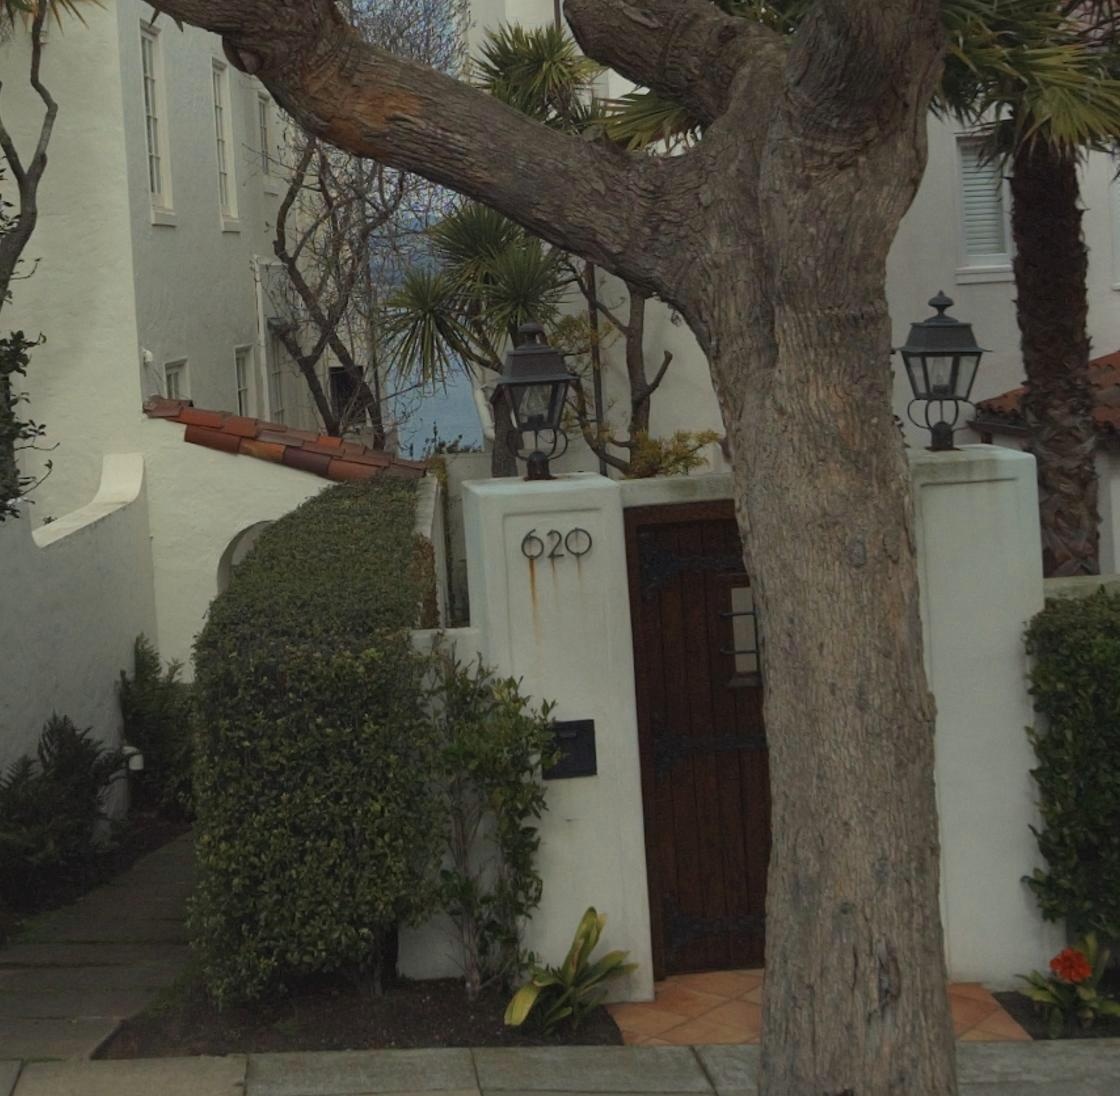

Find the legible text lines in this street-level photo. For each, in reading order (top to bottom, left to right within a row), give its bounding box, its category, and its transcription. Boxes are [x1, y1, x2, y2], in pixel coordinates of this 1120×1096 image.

[520, 528, 593, 559] StreetNumber: 620